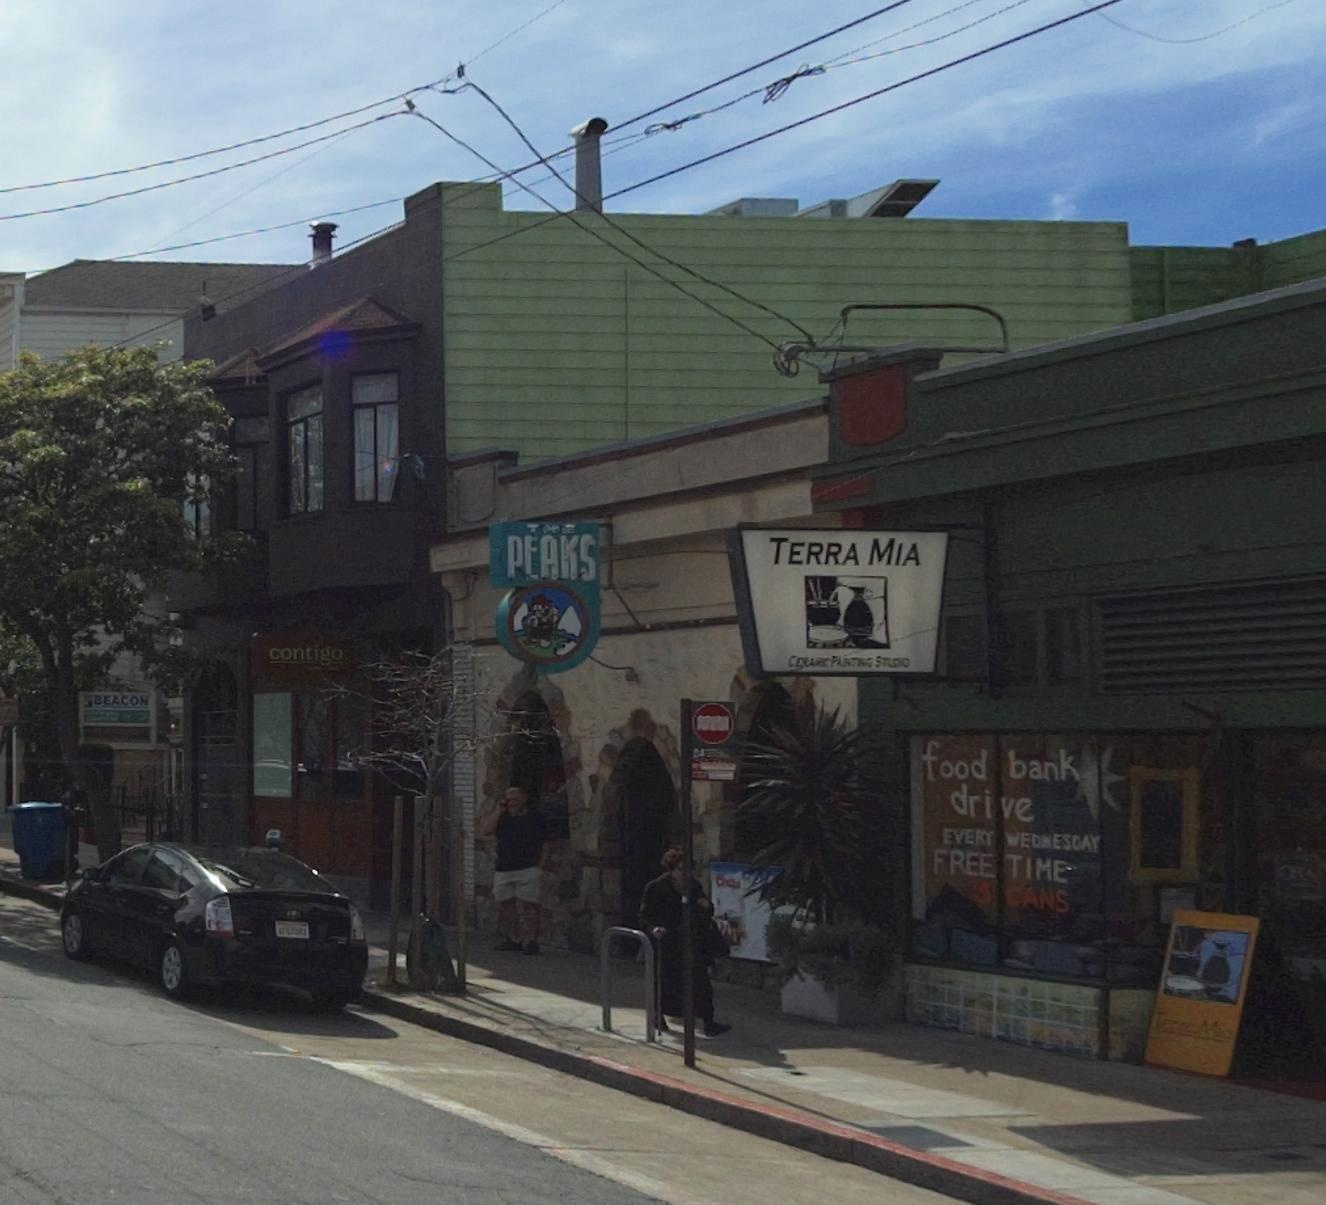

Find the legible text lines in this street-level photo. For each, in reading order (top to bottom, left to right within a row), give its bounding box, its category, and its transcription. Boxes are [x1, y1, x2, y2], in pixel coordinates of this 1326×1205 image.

[524, 522, 577, 535] None: THE
[505, 534, 598, 582] BusinessName: PEAKS
[768, 536, 922, 567] BusinessName: TERRA MIA
[268, 642, 344, 667] BusinessName: contigo
[785, 654, 913, 668] None: CERA**C PAI*TI** STUDIO
[92, 694, 149, 706] BusinessName: BEACON
[920, 739, 1080, 783] None: food bank
[950, 782, 1037, 826] None: drive
[942, 825, 1103, 854] None: EVERY WEDNESDAY
[932, 846, 1071, 883] None: FREE TIME
[1004, 884, 1072, 916] None: CANS
[1152, 1006, 1233, 1044] BusinessName: Te*** M*a